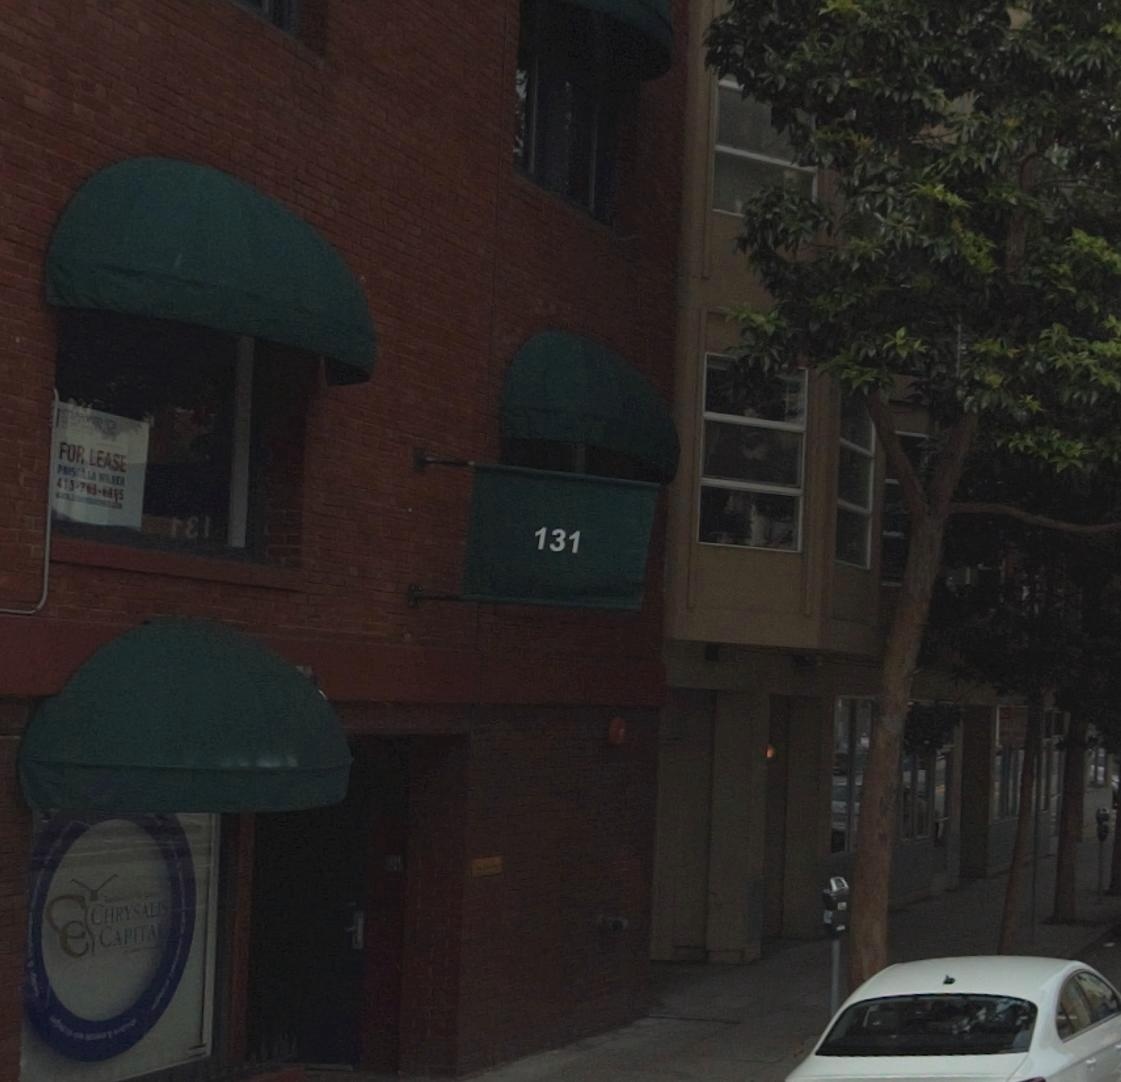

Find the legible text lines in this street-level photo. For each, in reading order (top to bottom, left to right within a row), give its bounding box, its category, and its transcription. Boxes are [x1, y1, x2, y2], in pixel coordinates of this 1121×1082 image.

[57, 438, 128, 475] None: FOR LEASE
[55, 475, 125, 505] None: 41*-7**-***5
[533, 524, 583, 556] StreetNumber: 131
[88, 898, 171, 928] None: CHRYSALIS
[98, 922, 170, 950] None: CAPITA*